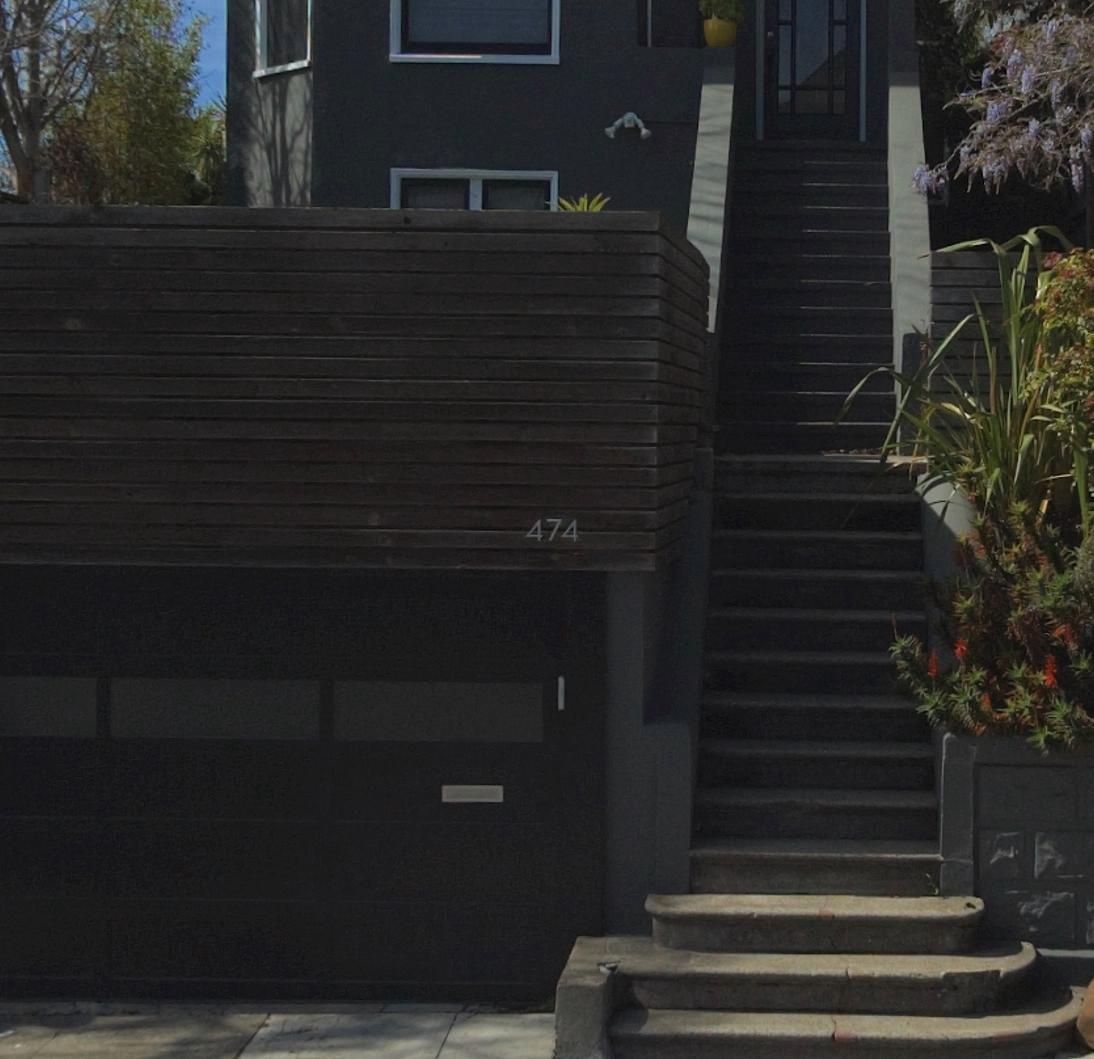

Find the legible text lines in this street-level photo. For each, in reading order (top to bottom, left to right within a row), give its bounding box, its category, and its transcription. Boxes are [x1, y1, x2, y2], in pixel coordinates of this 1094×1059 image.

[522, 516, 581, 545] StreetNumber: 474